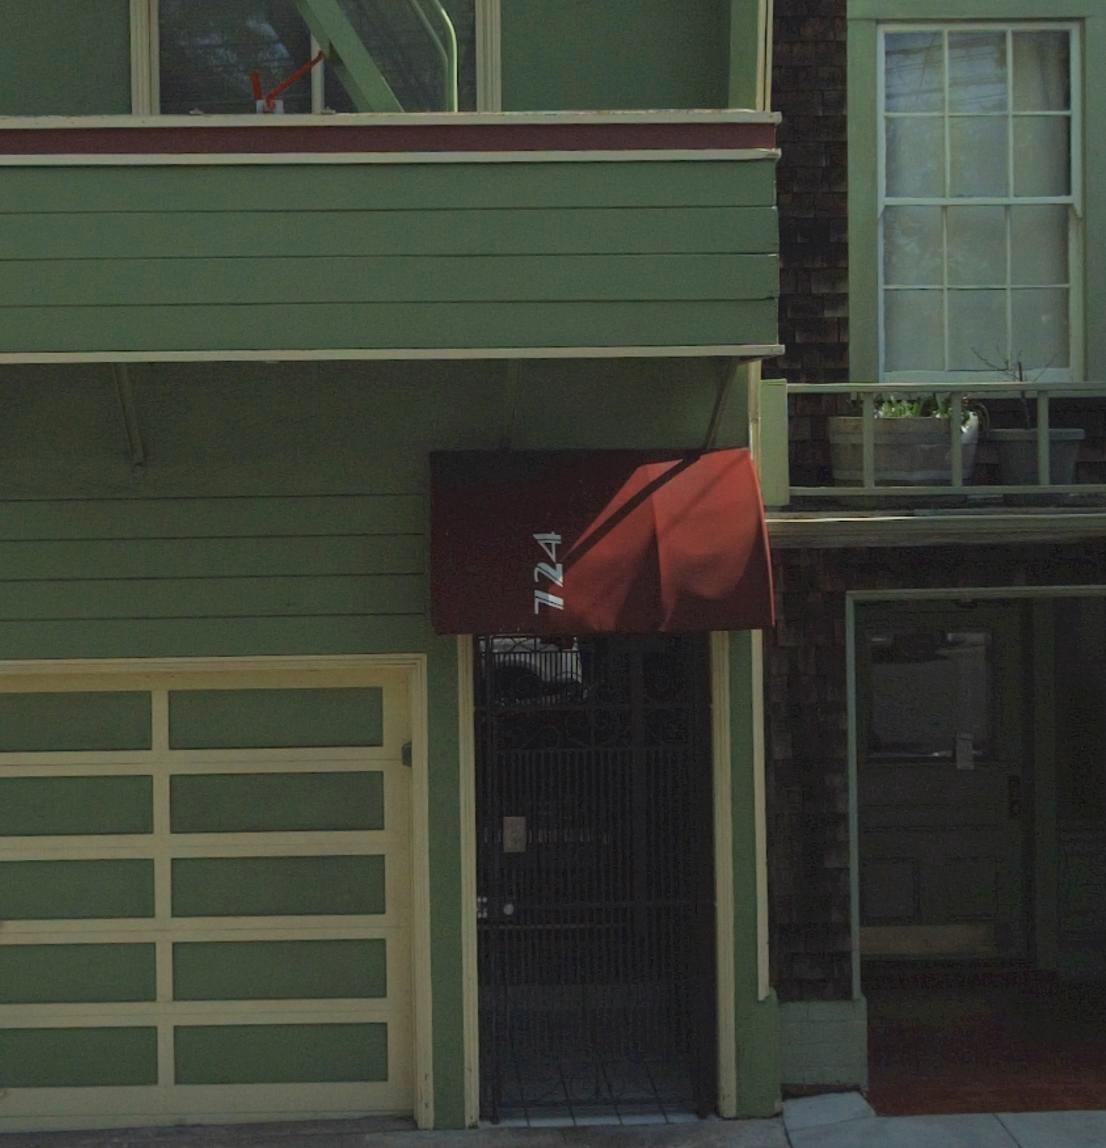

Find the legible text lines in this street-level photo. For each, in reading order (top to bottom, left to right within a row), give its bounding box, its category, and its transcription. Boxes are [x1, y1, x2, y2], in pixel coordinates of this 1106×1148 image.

[531, 529, 566, 617] StreetNumber: 724